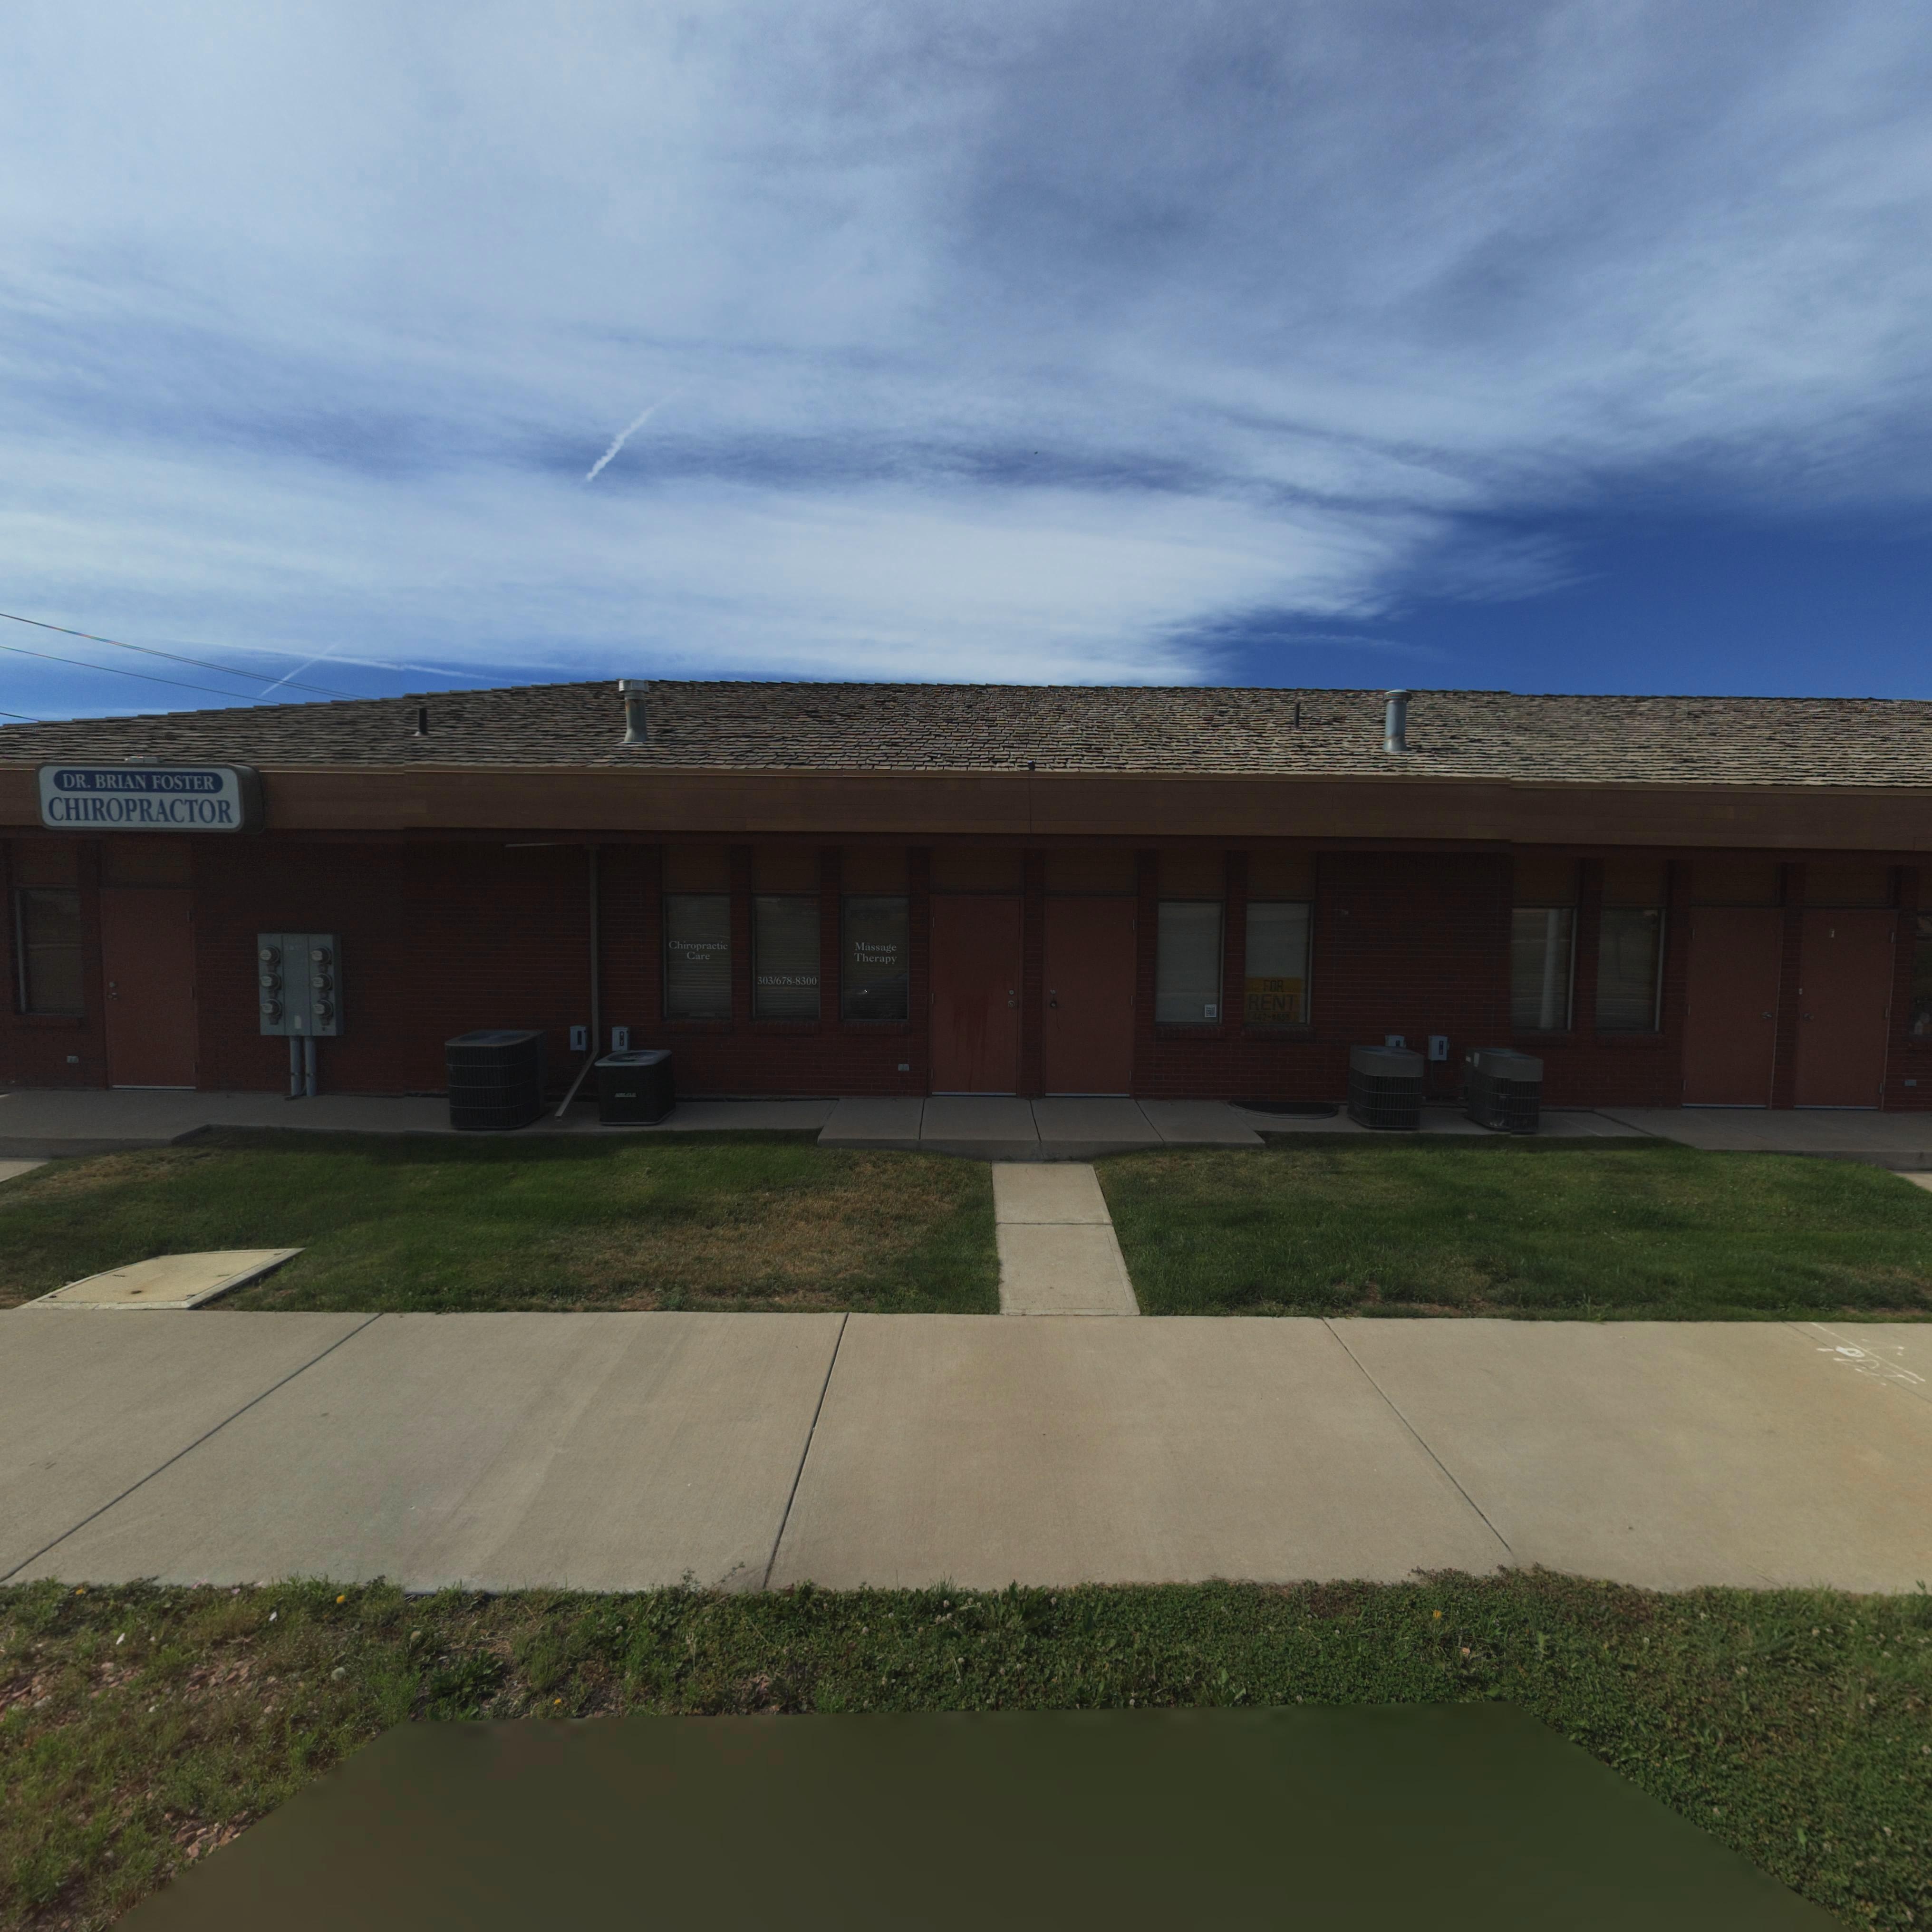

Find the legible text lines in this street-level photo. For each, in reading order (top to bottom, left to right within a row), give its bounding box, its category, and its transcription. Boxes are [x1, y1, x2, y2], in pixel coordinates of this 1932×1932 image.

[61, 773, 215, 790] BusinessName: DR. BRIAN FOSTER